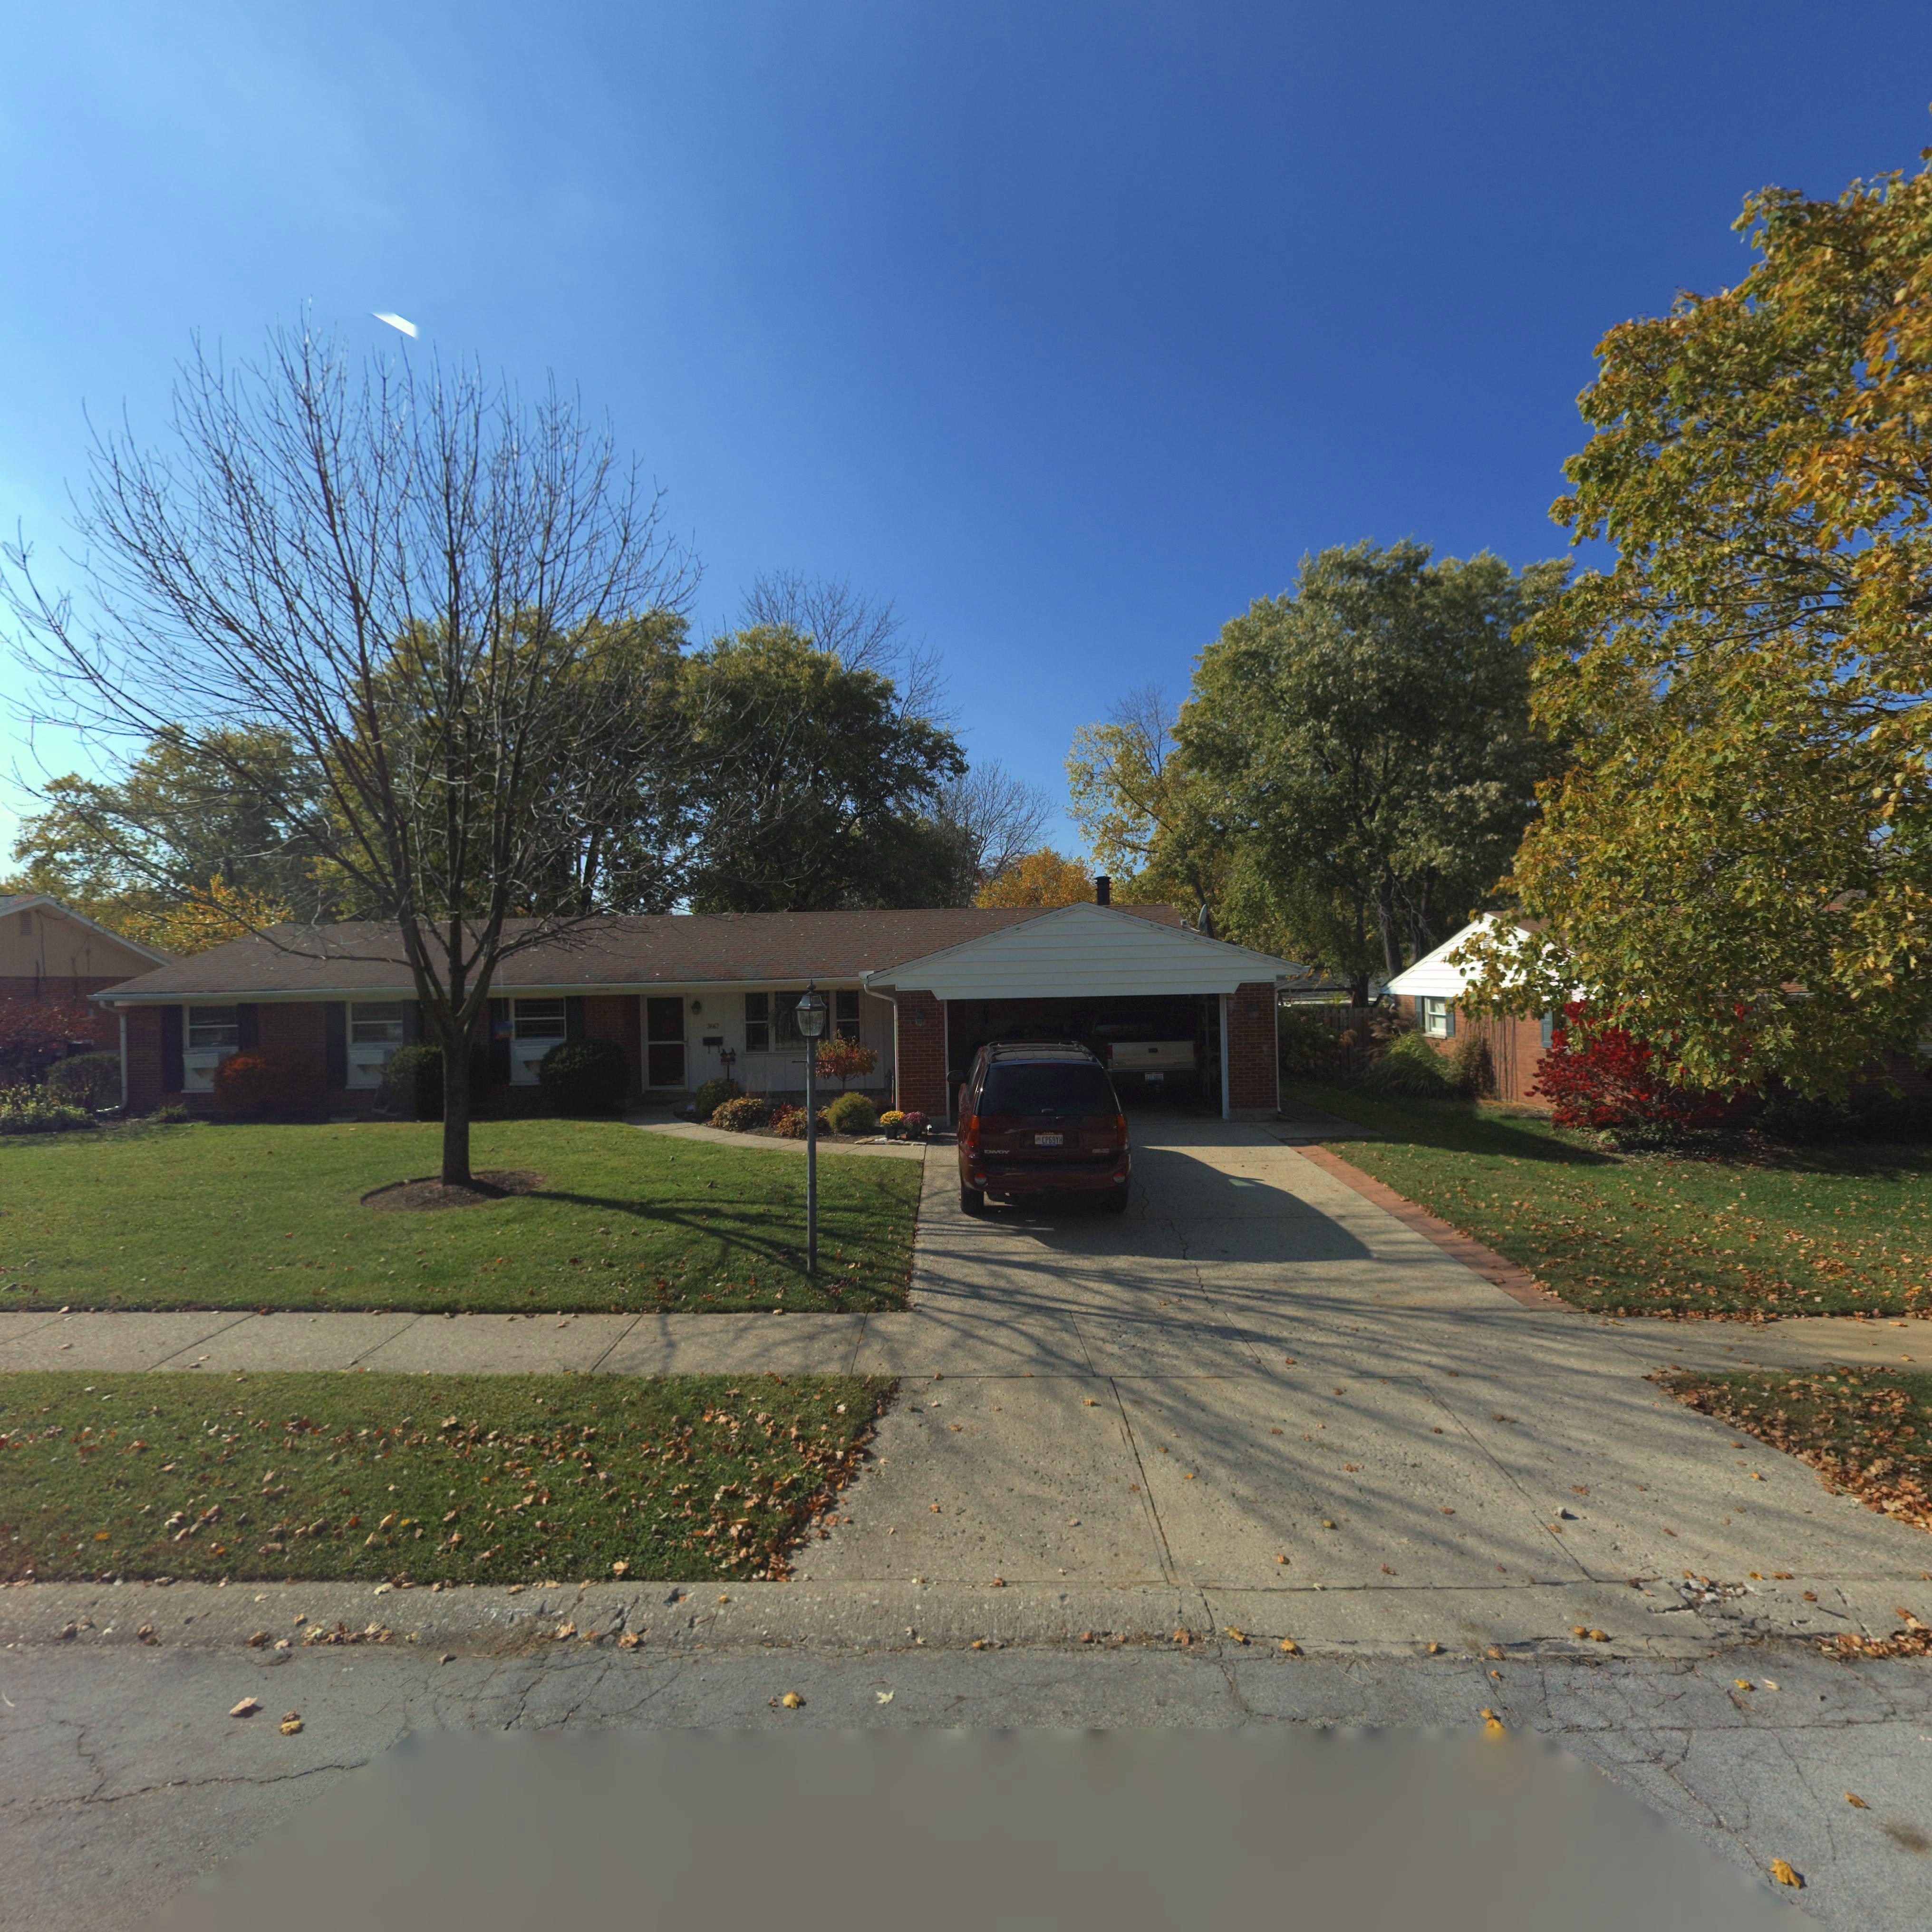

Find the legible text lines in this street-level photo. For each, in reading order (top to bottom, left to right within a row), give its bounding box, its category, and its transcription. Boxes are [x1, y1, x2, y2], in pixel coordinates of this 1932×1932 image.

[706, 1023, 720, 1029] StreetNumber: 3667
[1153, 1074, 1162, 1080] None: 9459